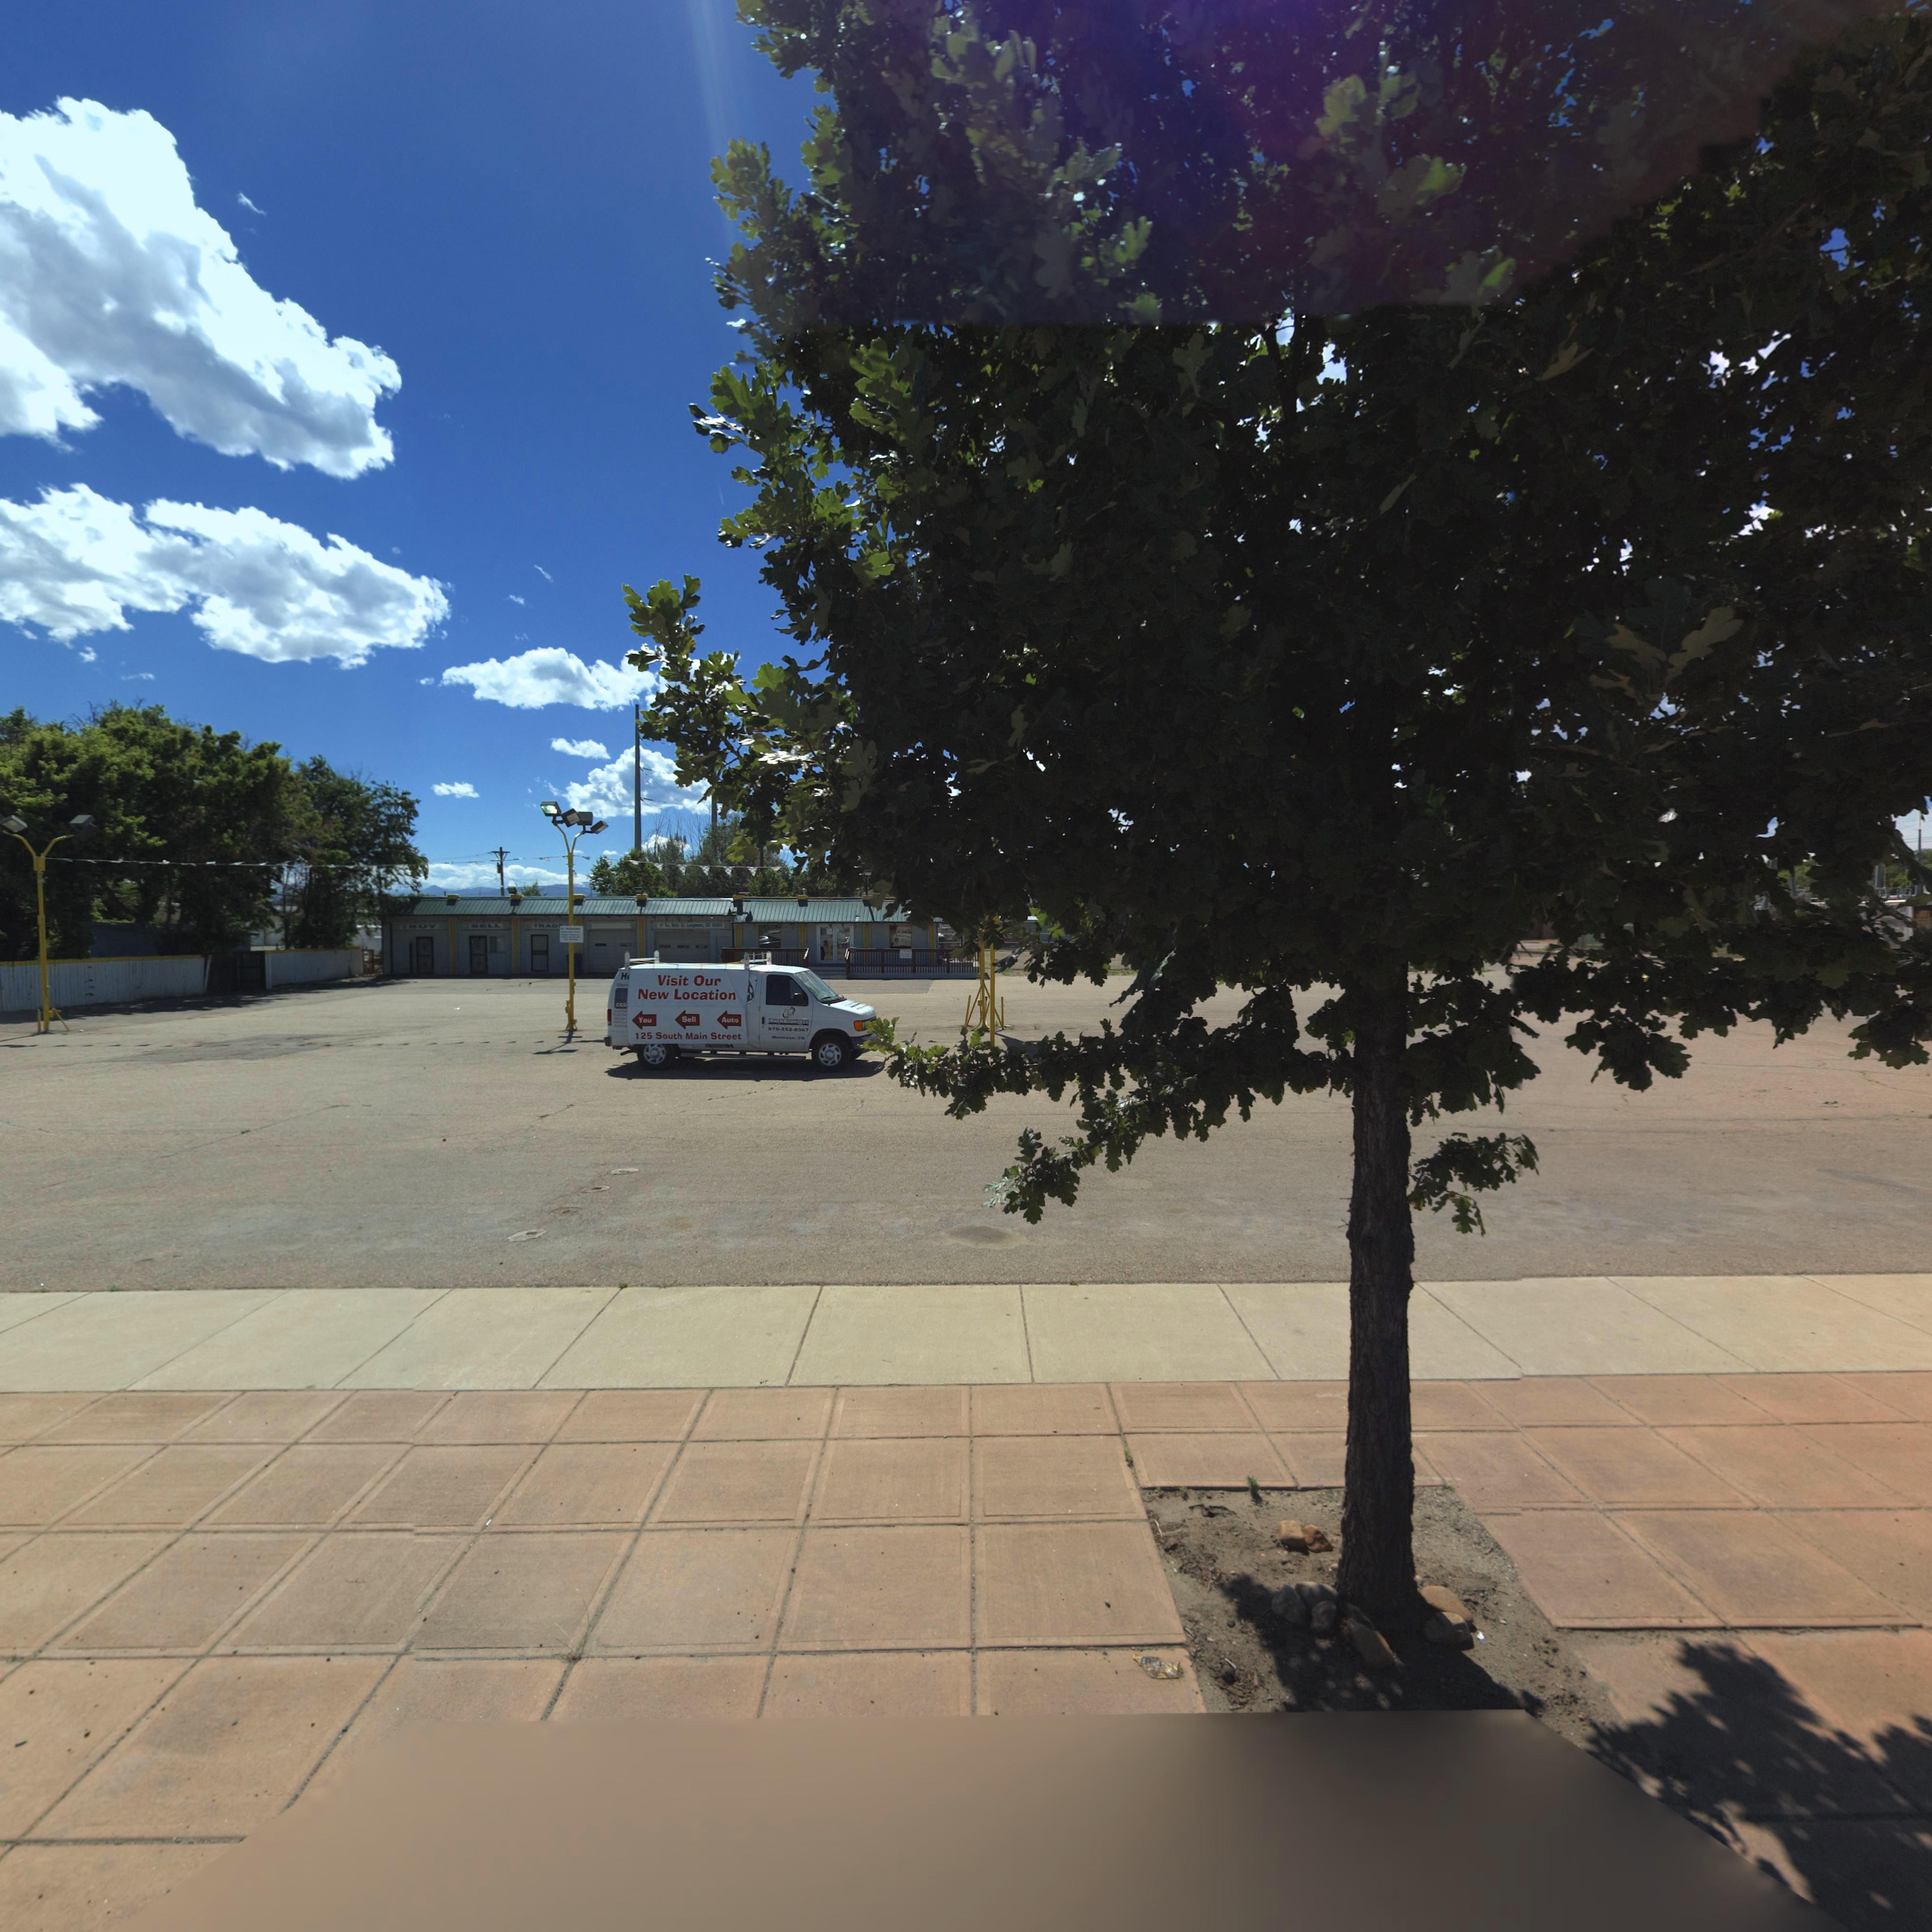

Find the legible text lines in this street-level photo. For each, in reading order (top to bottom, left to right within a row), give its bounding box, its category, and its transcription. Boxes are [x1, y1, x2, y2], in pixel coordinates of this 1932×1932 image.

[659, 923, 663, 927] StreetNumber: 27
[664, 923, 685, 927] BusinessName: S* *** S*
[634, 1032, 652, 1040] StreetNumber: 125
[655, 1031, 742, 1040] StreetName: South Main Street